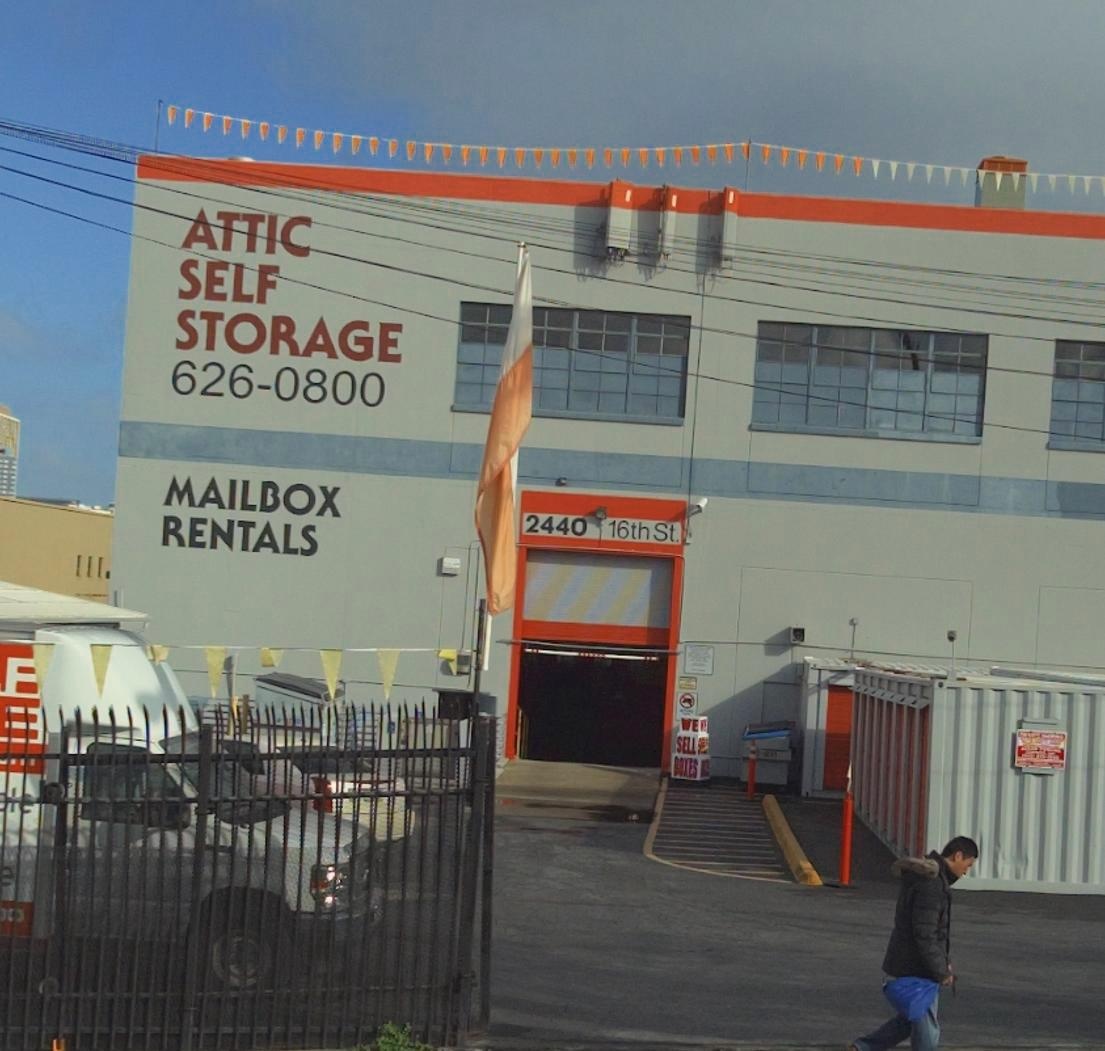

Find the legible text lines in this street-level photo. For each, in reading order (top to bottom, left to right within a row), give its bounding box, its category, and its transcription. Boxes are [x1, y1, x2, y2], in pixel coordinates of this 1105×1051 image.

[178, 206, 313, 258] BusinessName: ATTIC
[177, 258, 281, 305] BusinessName: SELF
[175, 309, 404, 364] BusinessName: STORAGE
[170, 360, 386, 408] None: 626-0800
[162, 474, 342, 518] None: MAILBOX
[160, 514, 318, 557] None: RENTALS
[524, 514, 588, 537] StreetNumber: 2440
[608, 518, 677, 543] StreetName: 16th St
[676, 735, 696, 755] None: SELL
[680, 717, 699, 733] None: WE
[673, 755, 699, 779] None: BOXES